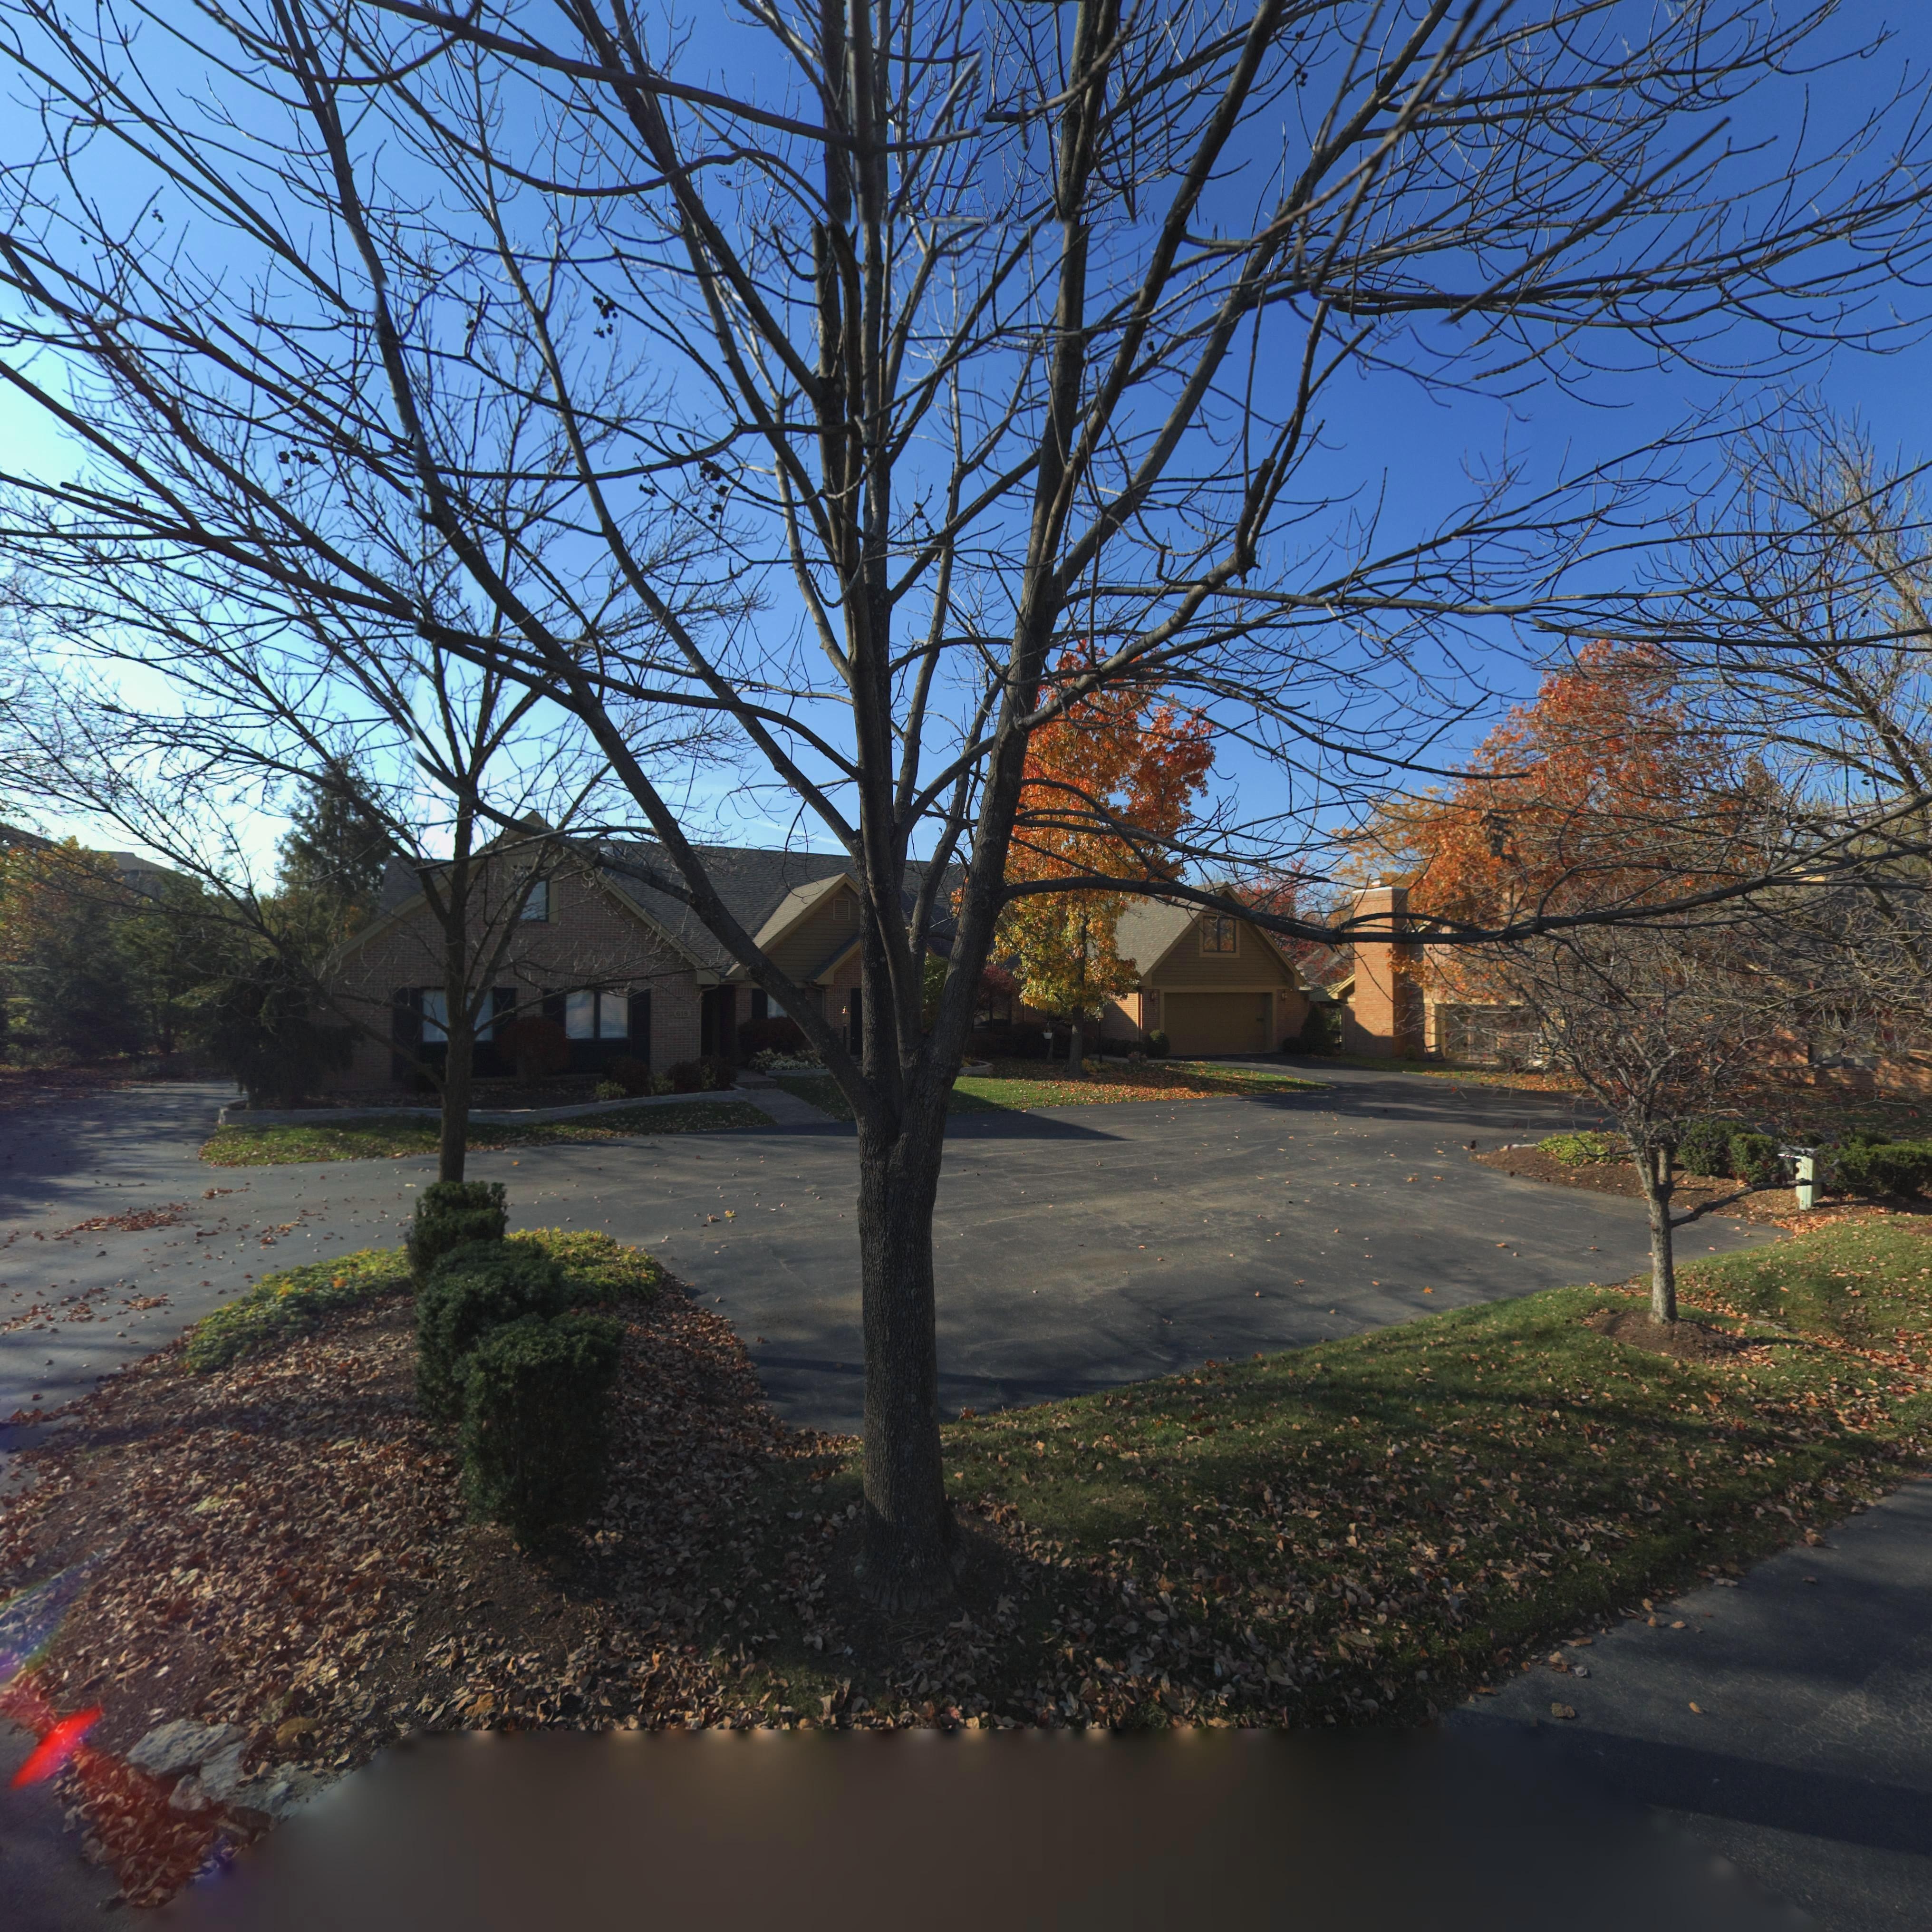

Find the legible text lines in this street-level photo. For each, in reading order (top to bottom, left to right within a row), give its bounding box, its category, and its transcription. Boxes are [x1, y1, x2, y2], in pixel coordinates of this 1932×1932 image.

[676, 1010, 689, 1017] StreetNumber: 618
[1148, 1008, 1156, 1014] StreetNumber: 61*